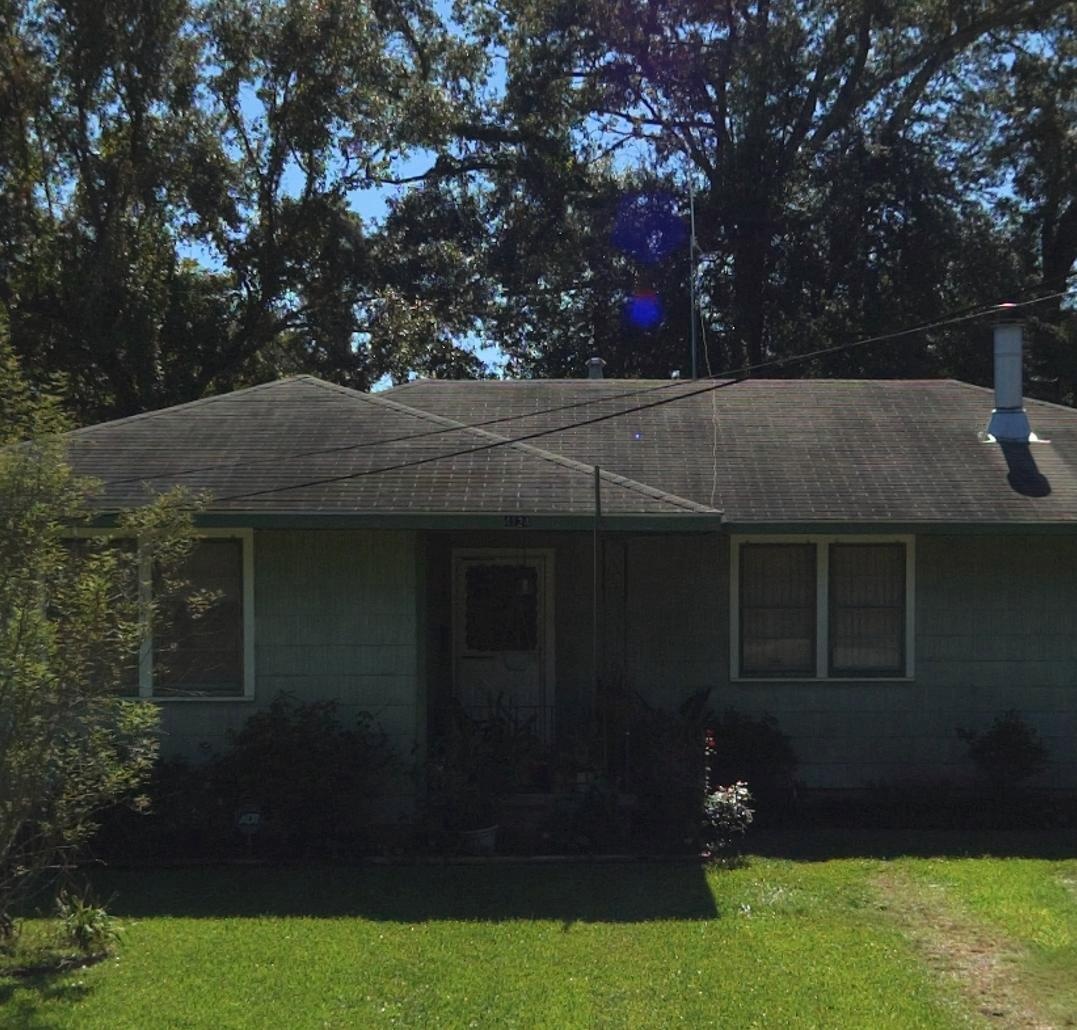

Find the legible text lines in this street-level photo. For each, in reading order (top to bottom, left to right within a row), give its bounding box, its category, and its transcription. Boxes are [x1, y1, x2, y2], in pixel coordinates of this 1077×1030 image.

[504, 516, 531, 528] StreetNumber: 4124